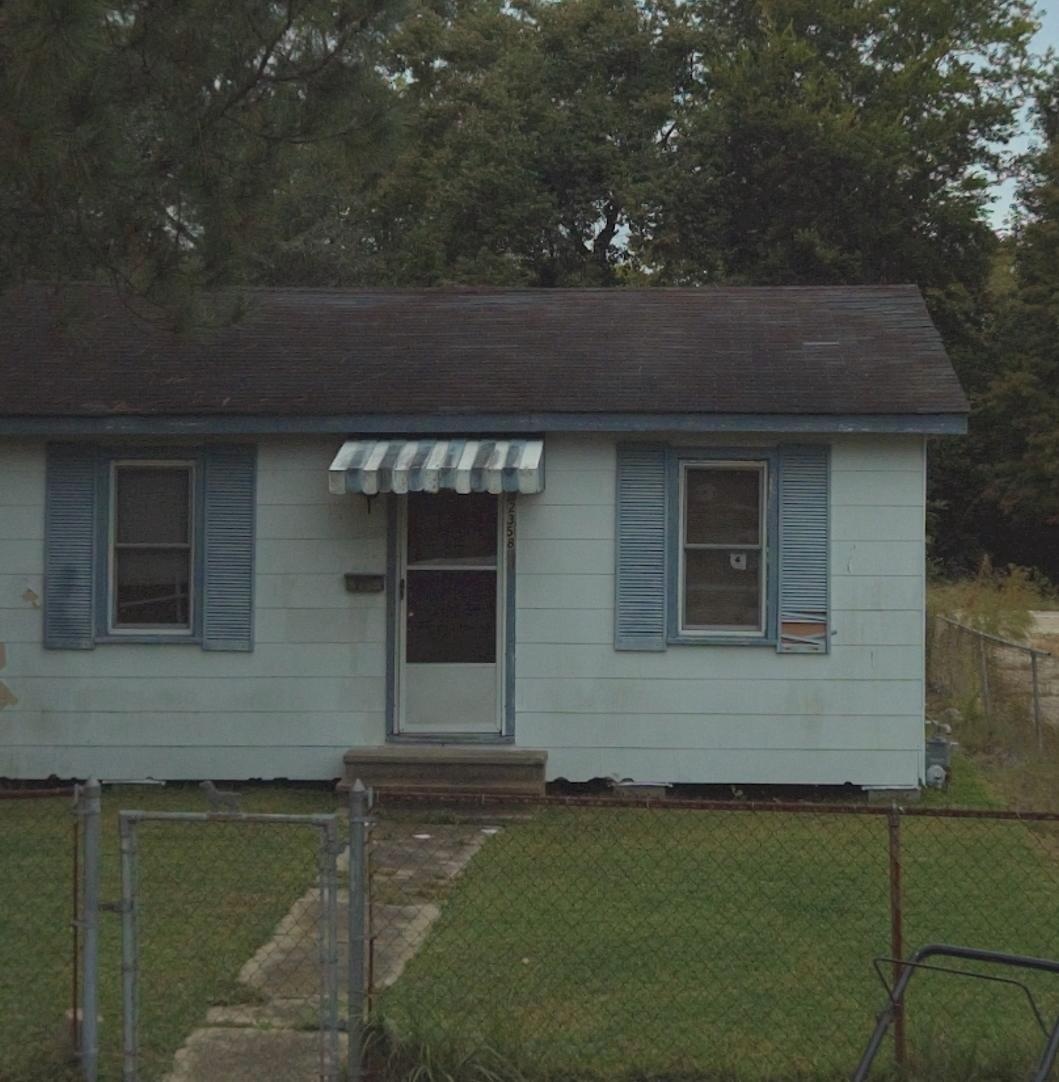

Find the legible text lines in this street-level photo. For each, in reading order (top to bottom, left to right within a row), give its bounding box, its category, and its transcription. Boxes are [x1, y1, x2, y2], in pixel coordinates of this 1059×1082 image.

[506, 501, 515, 549] StreetNumber: 2358